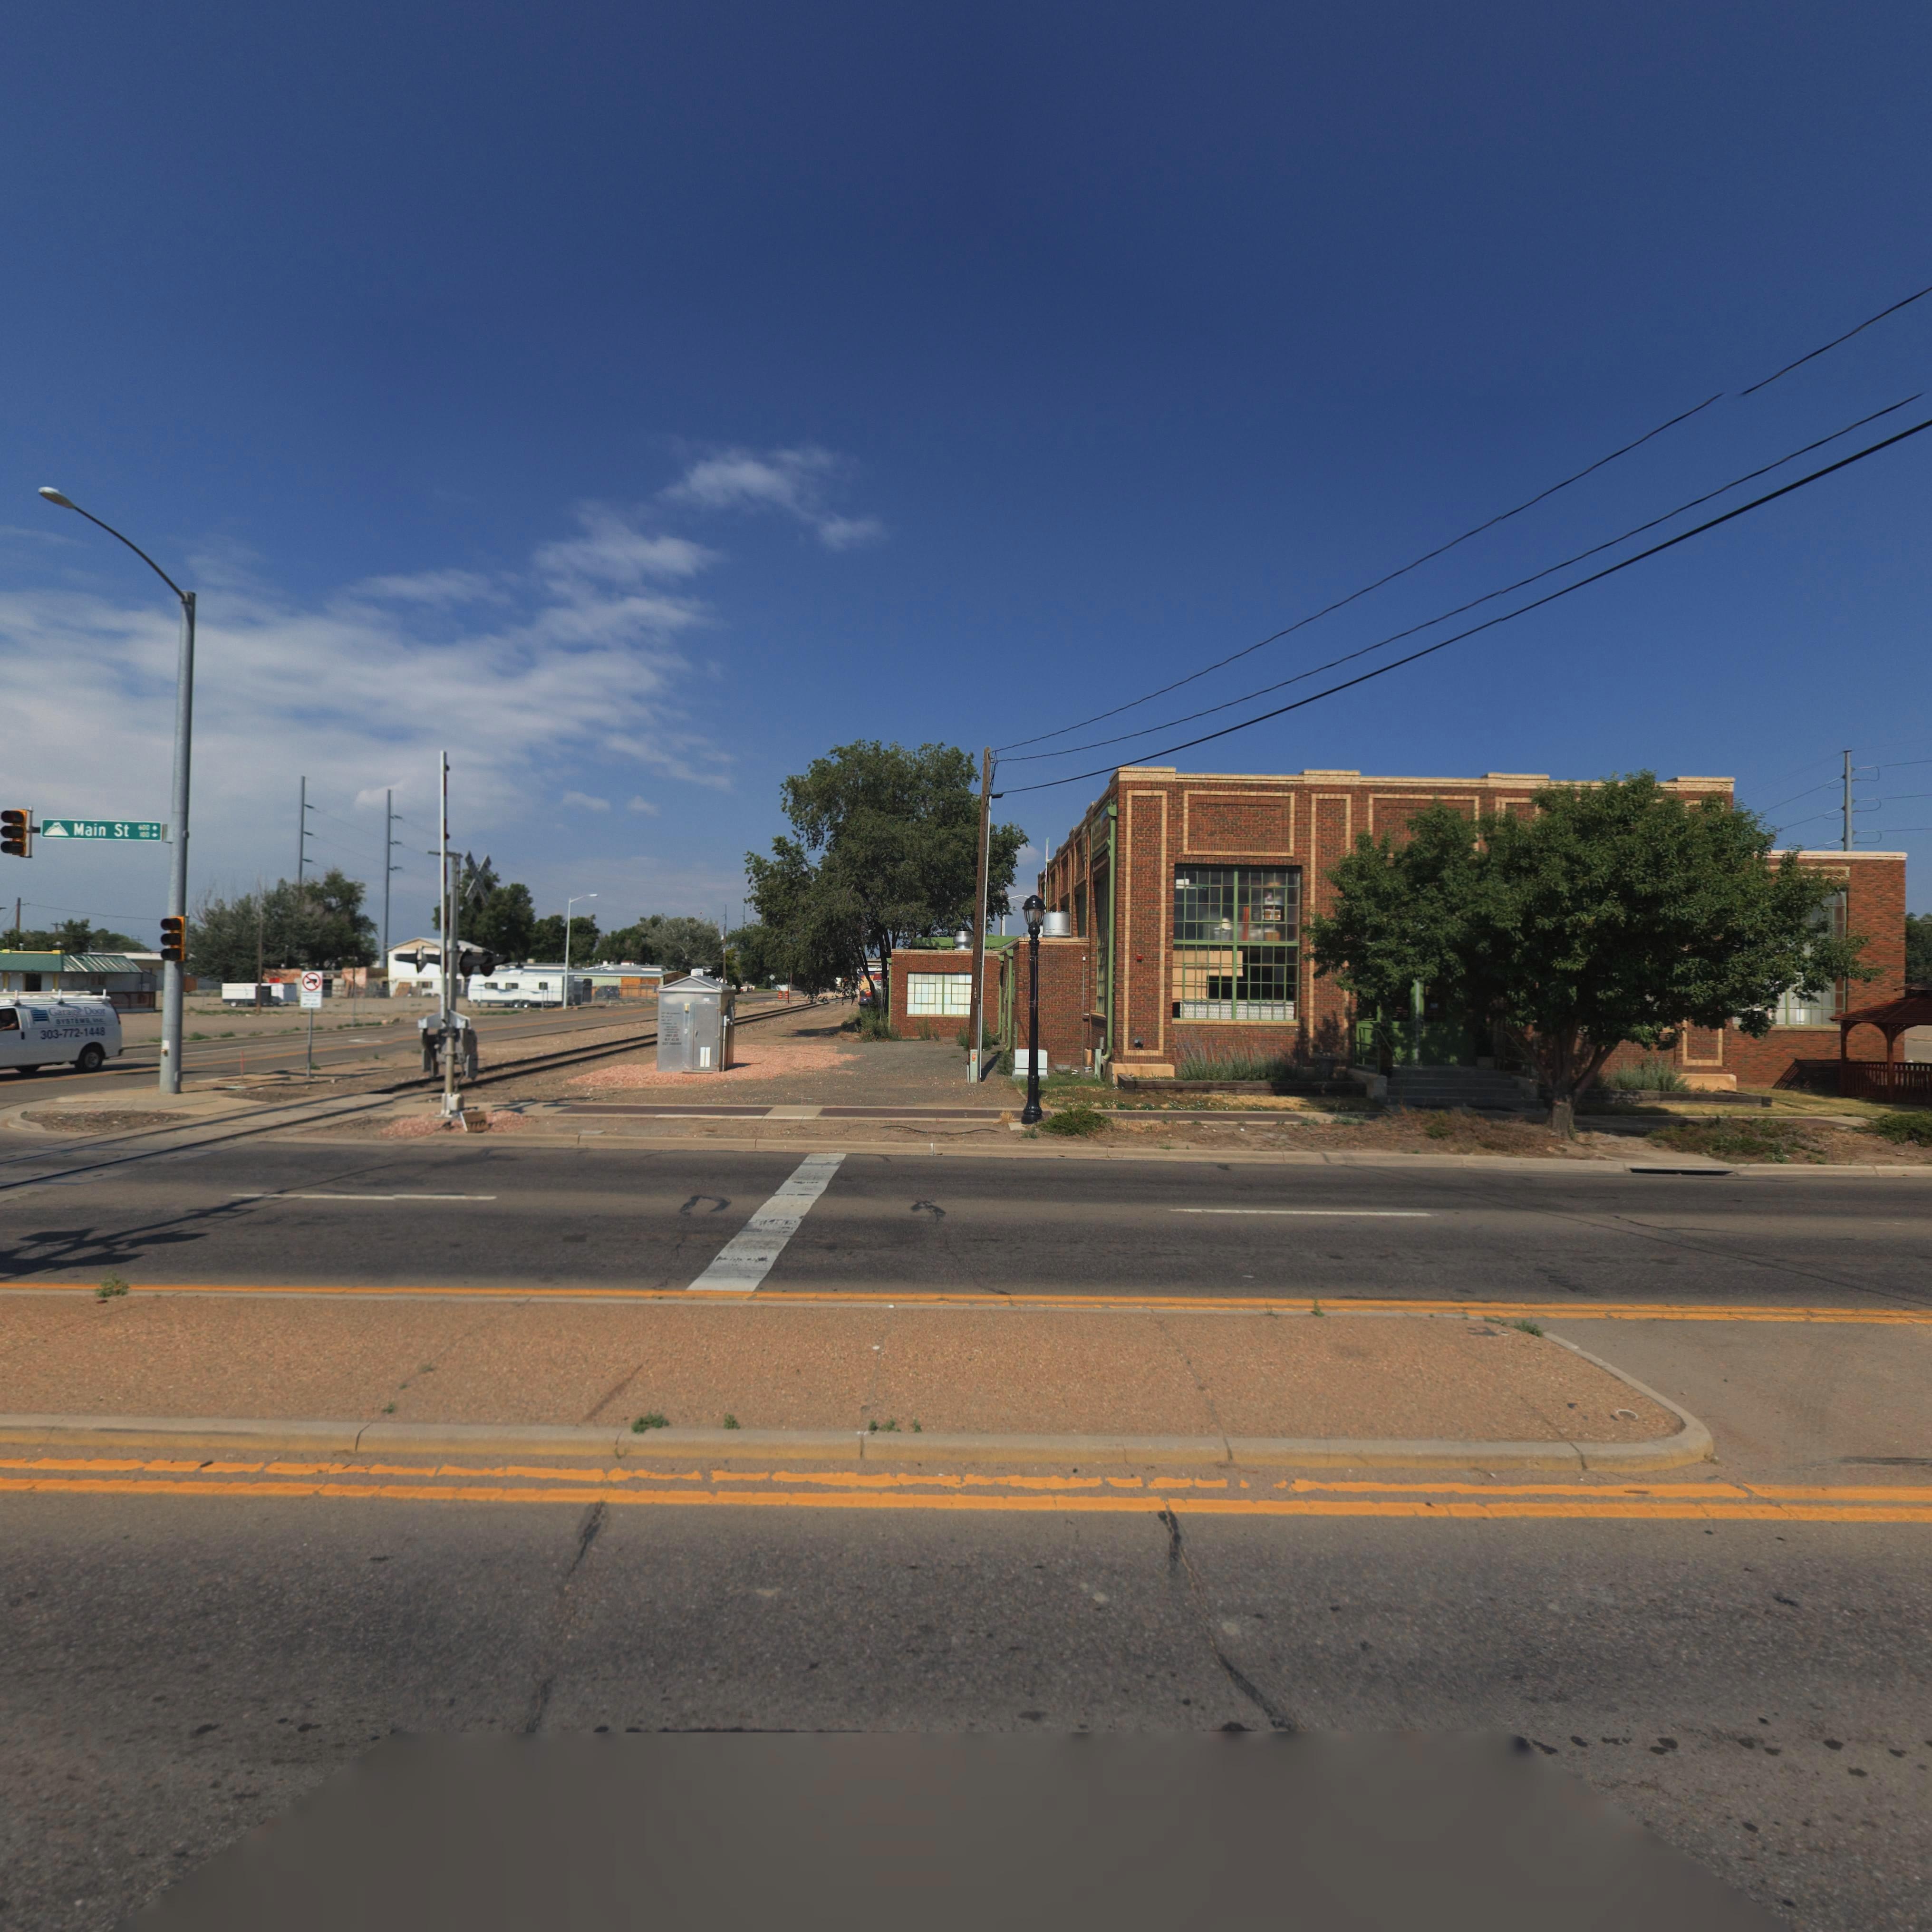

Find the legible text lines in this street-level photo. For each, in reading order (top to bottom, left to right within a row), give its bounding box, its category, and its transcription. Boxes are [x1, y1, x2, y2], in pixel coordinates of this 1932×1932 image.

[72, 822, 129, 837] StreetName: Main St
[137, 824, 151, 831] StreetNumberRange: 600
[139, 831, 159, 838] StreetNumberRange: 100 ->